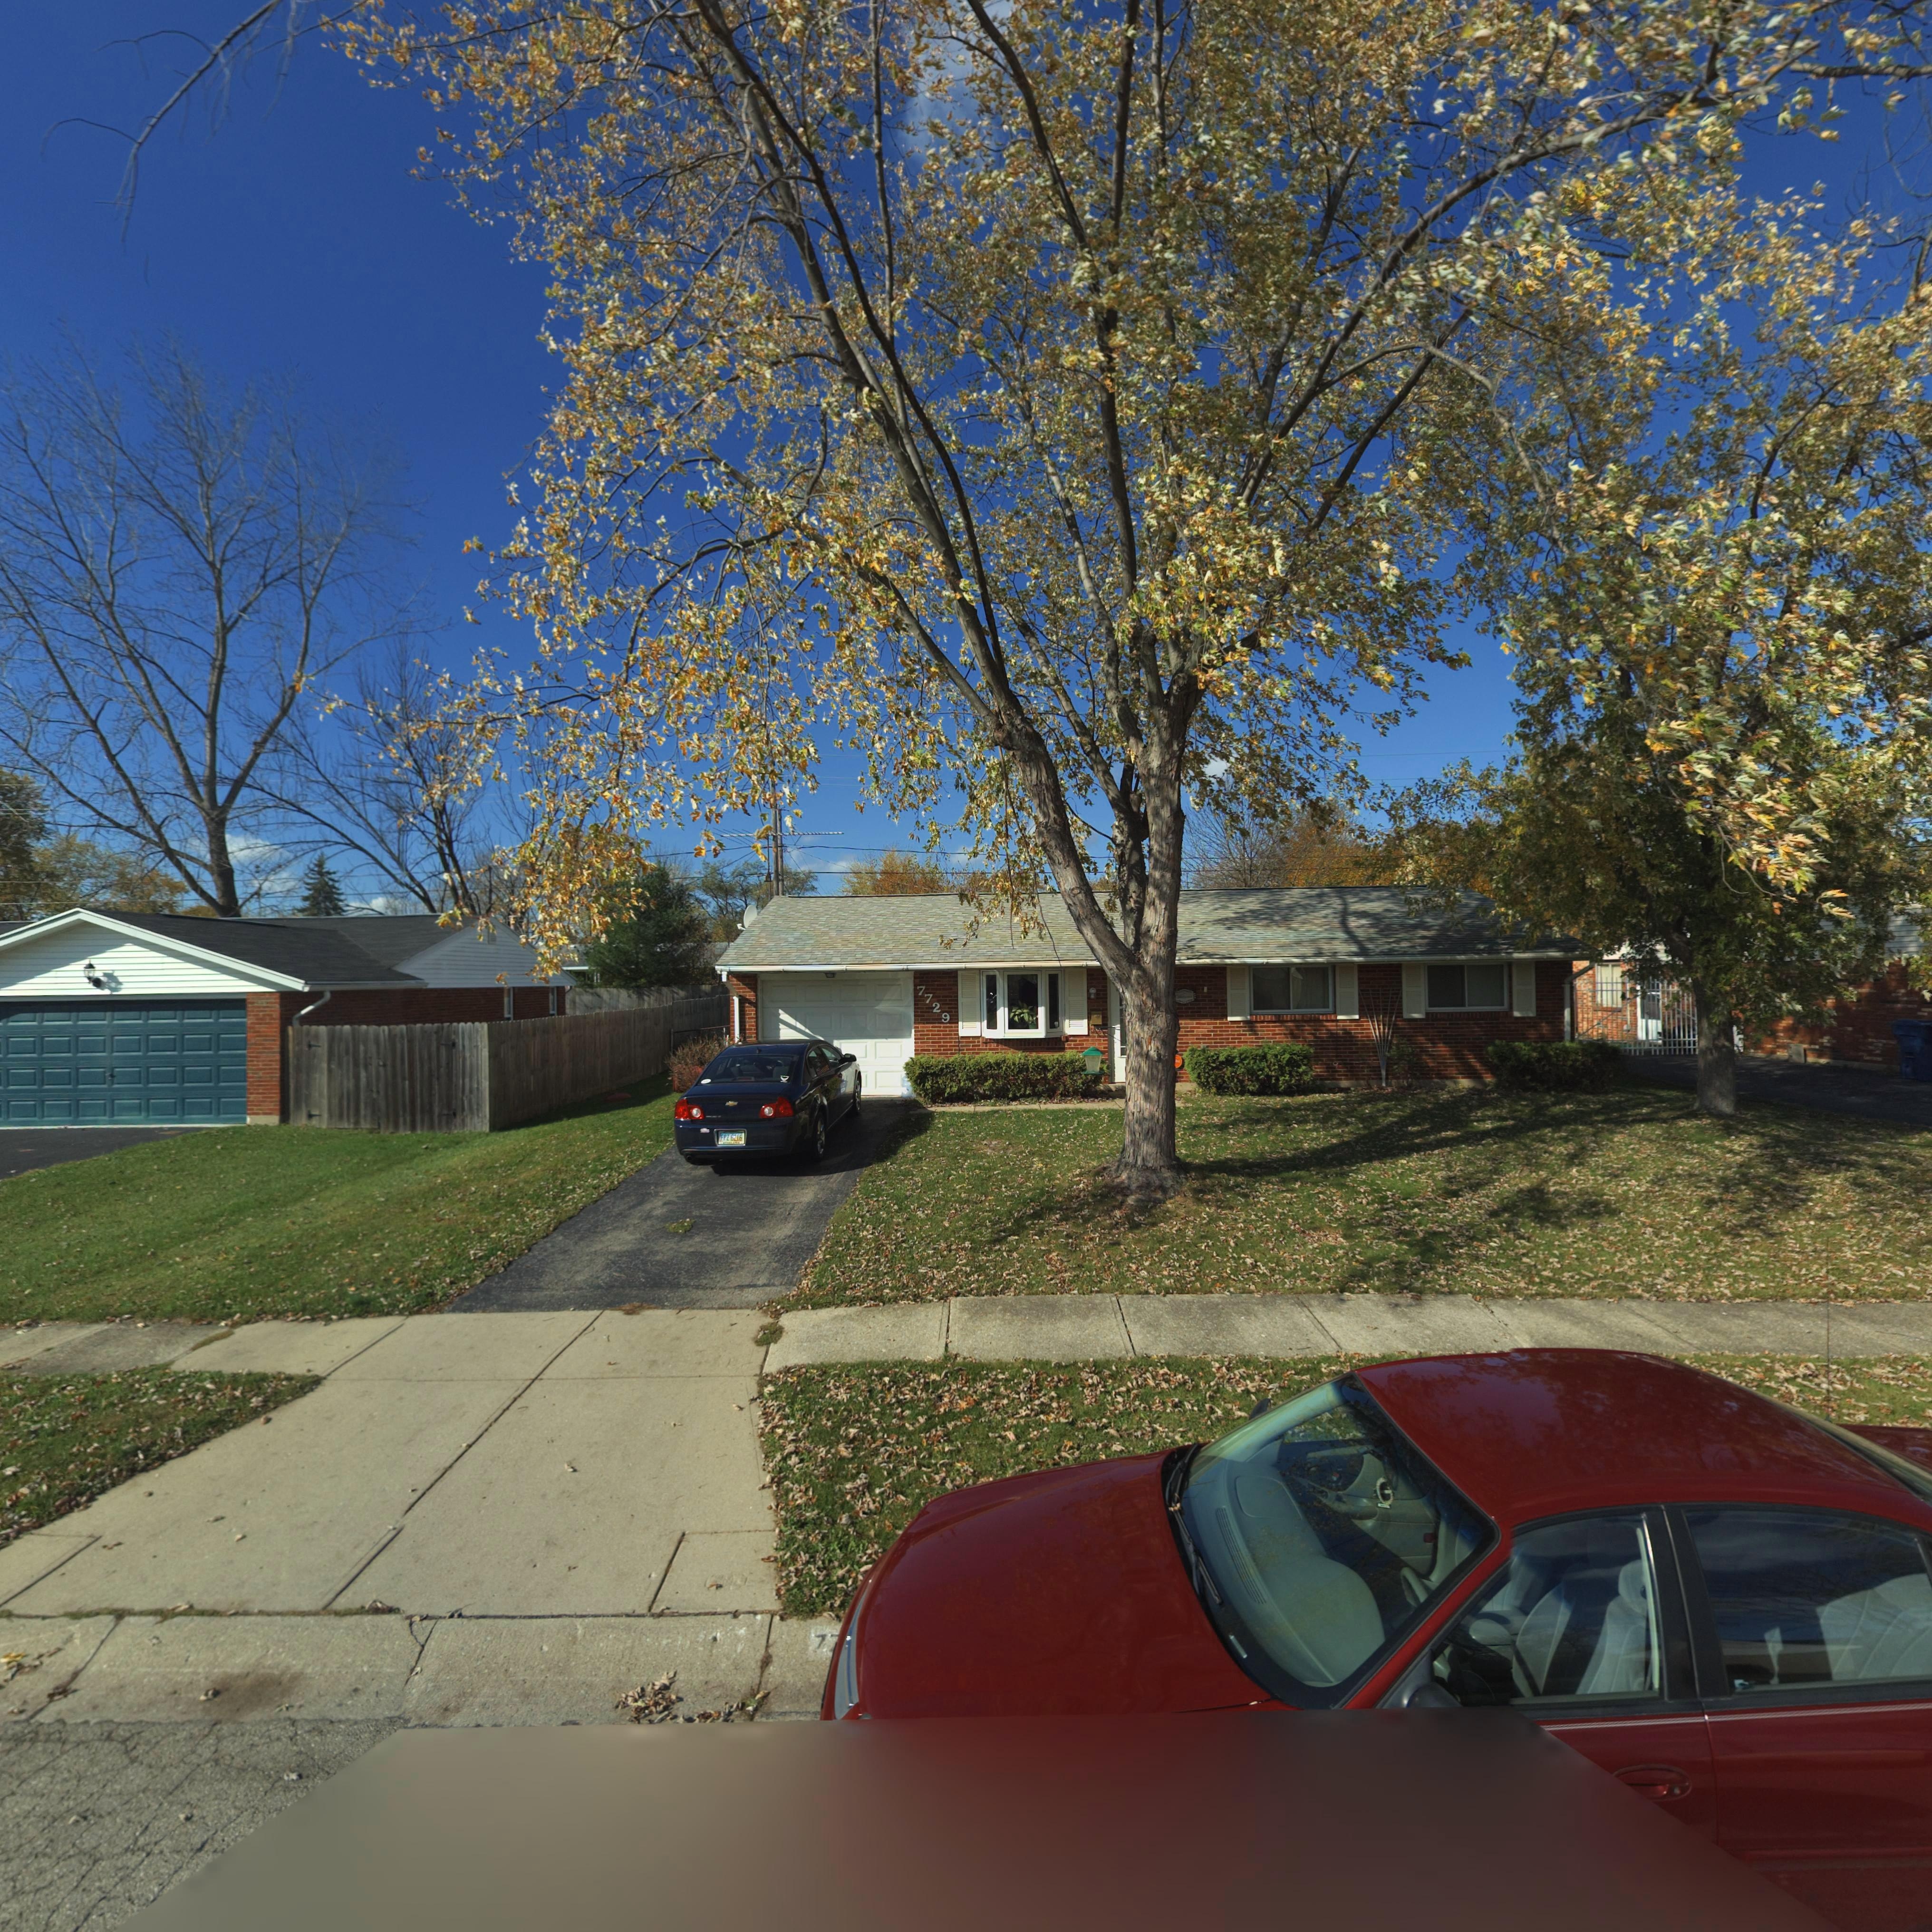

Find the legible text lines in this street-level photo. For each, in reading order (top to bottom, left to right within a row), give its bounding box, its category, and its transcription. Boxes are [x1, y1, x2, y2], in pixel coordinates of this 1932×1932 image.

[916, 985, 951, 1024] StreetNumber: 7729